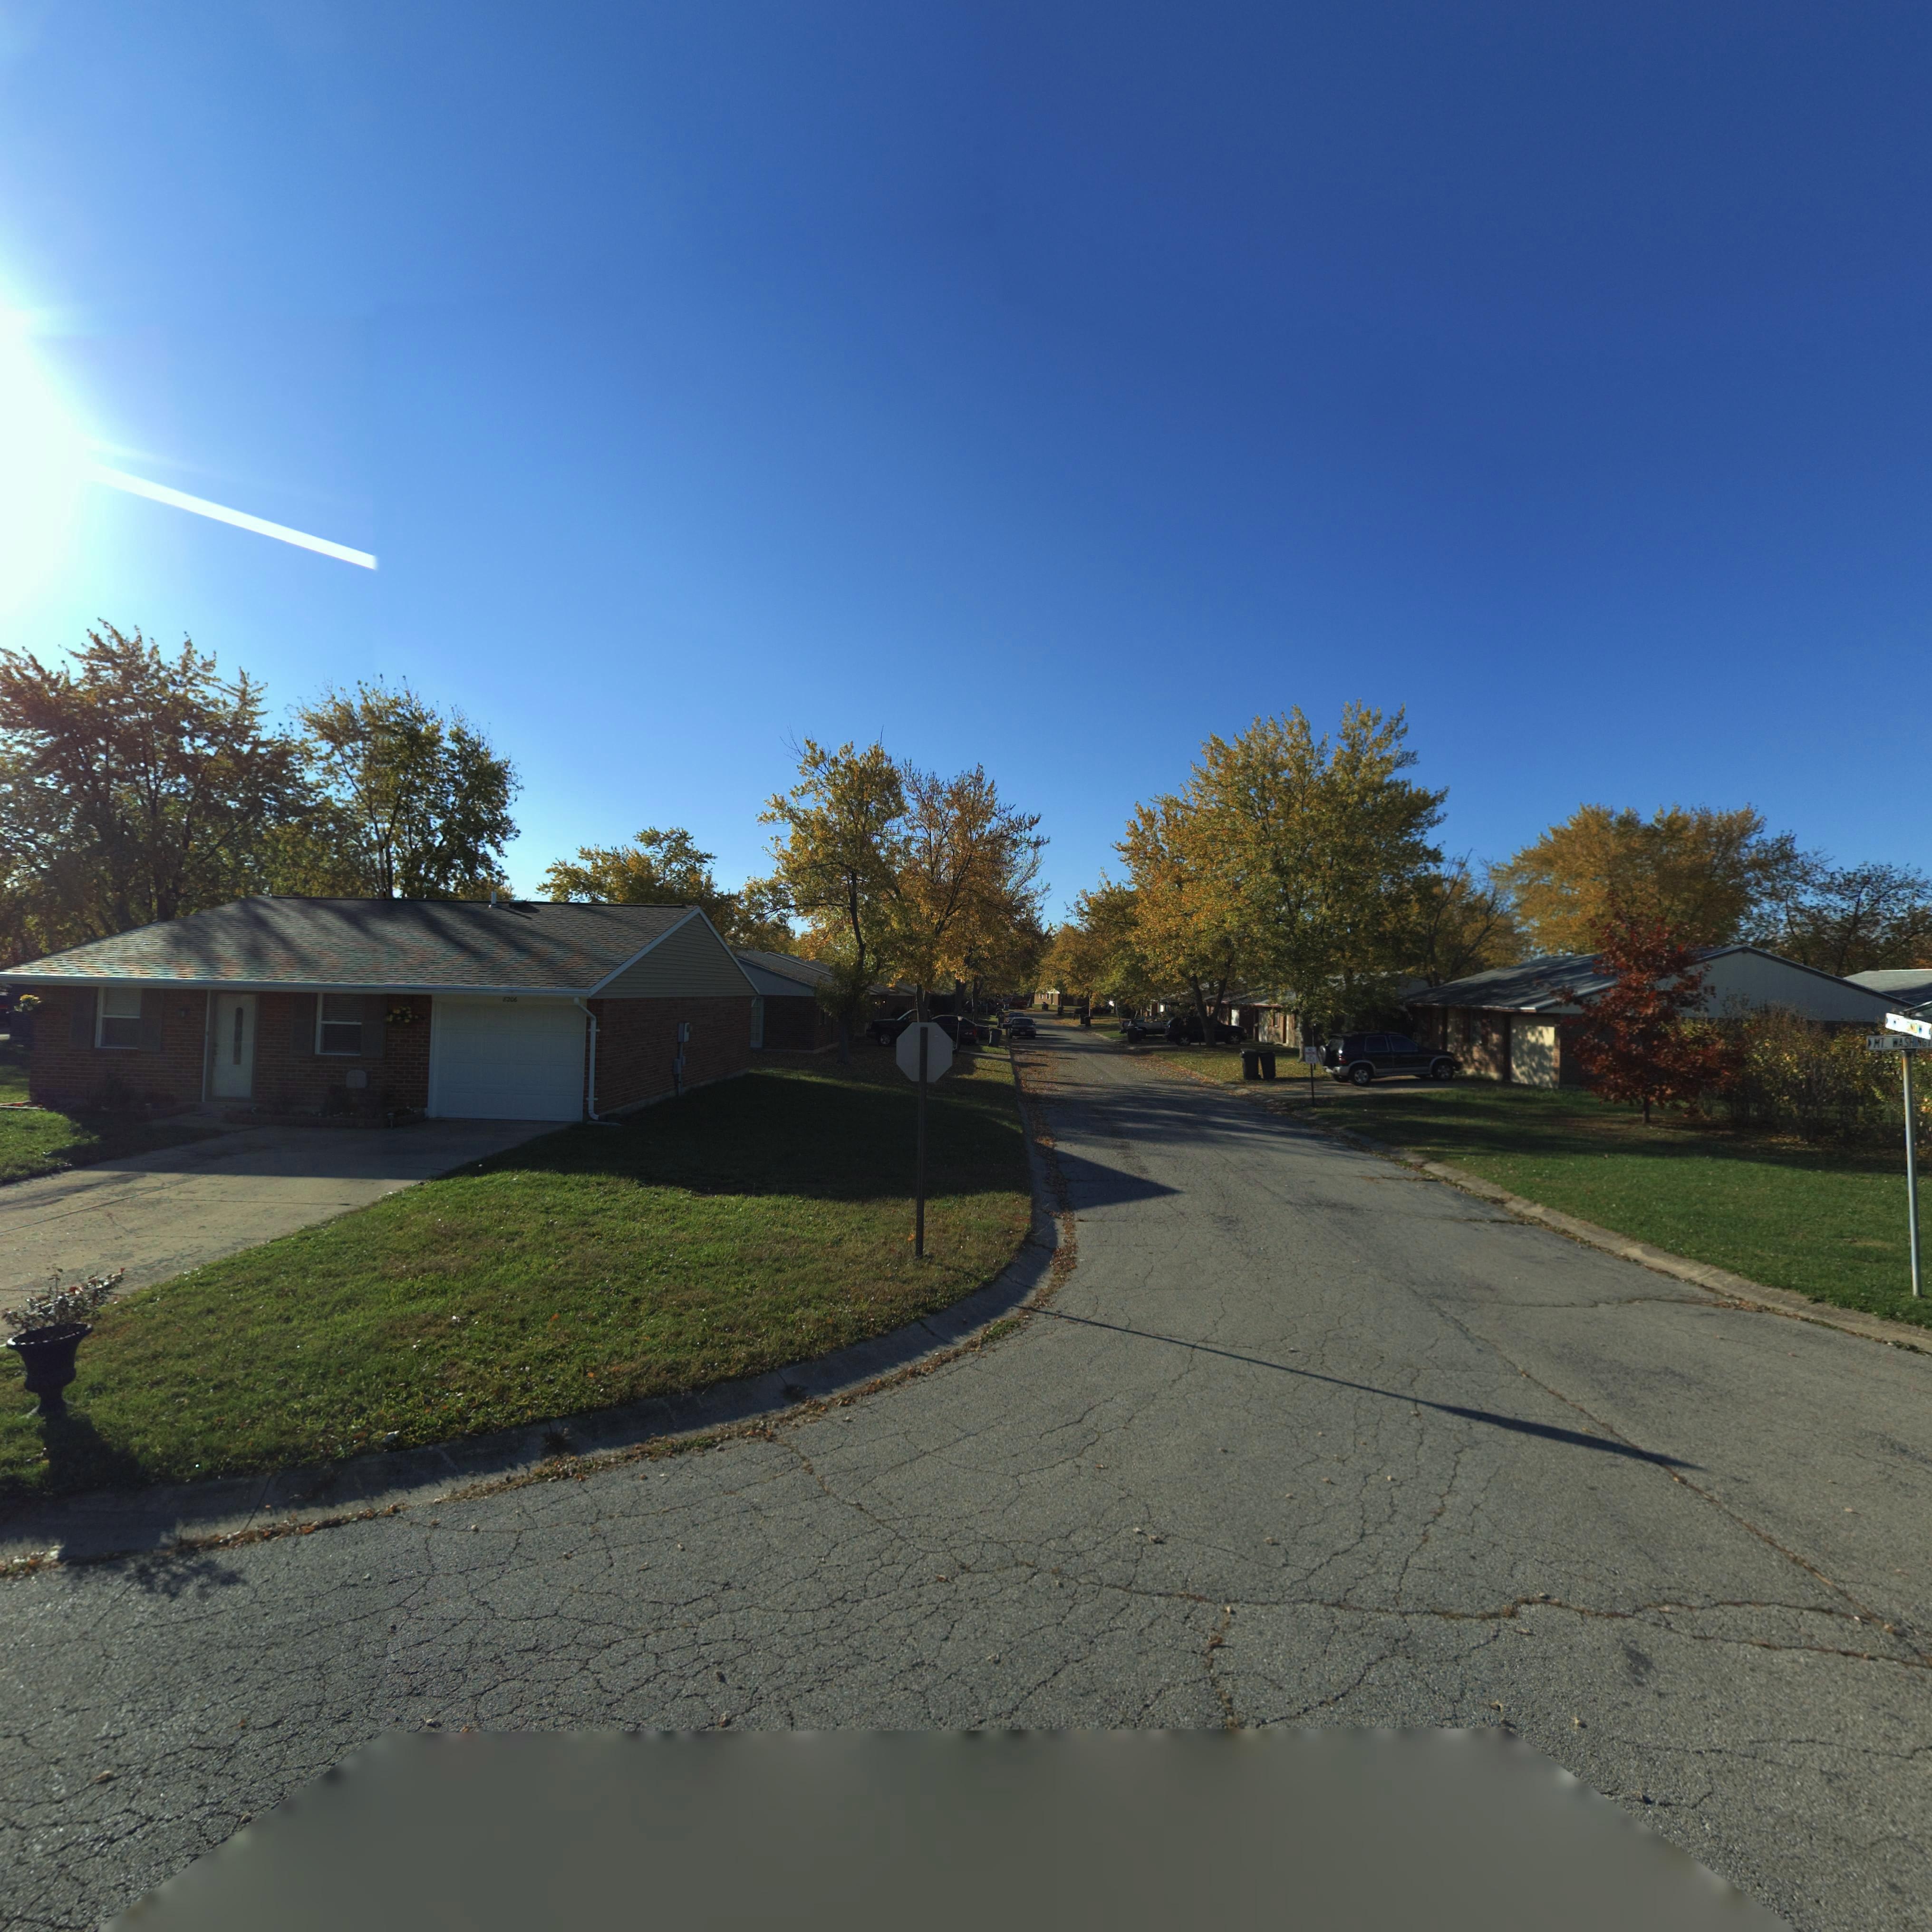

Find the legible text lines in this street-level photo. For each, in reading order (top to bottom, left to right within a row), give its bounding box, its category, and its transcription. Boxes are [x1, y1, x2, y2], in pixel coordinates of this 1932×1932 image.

[502, 996, 517, 1003] StreetNumber: 8206